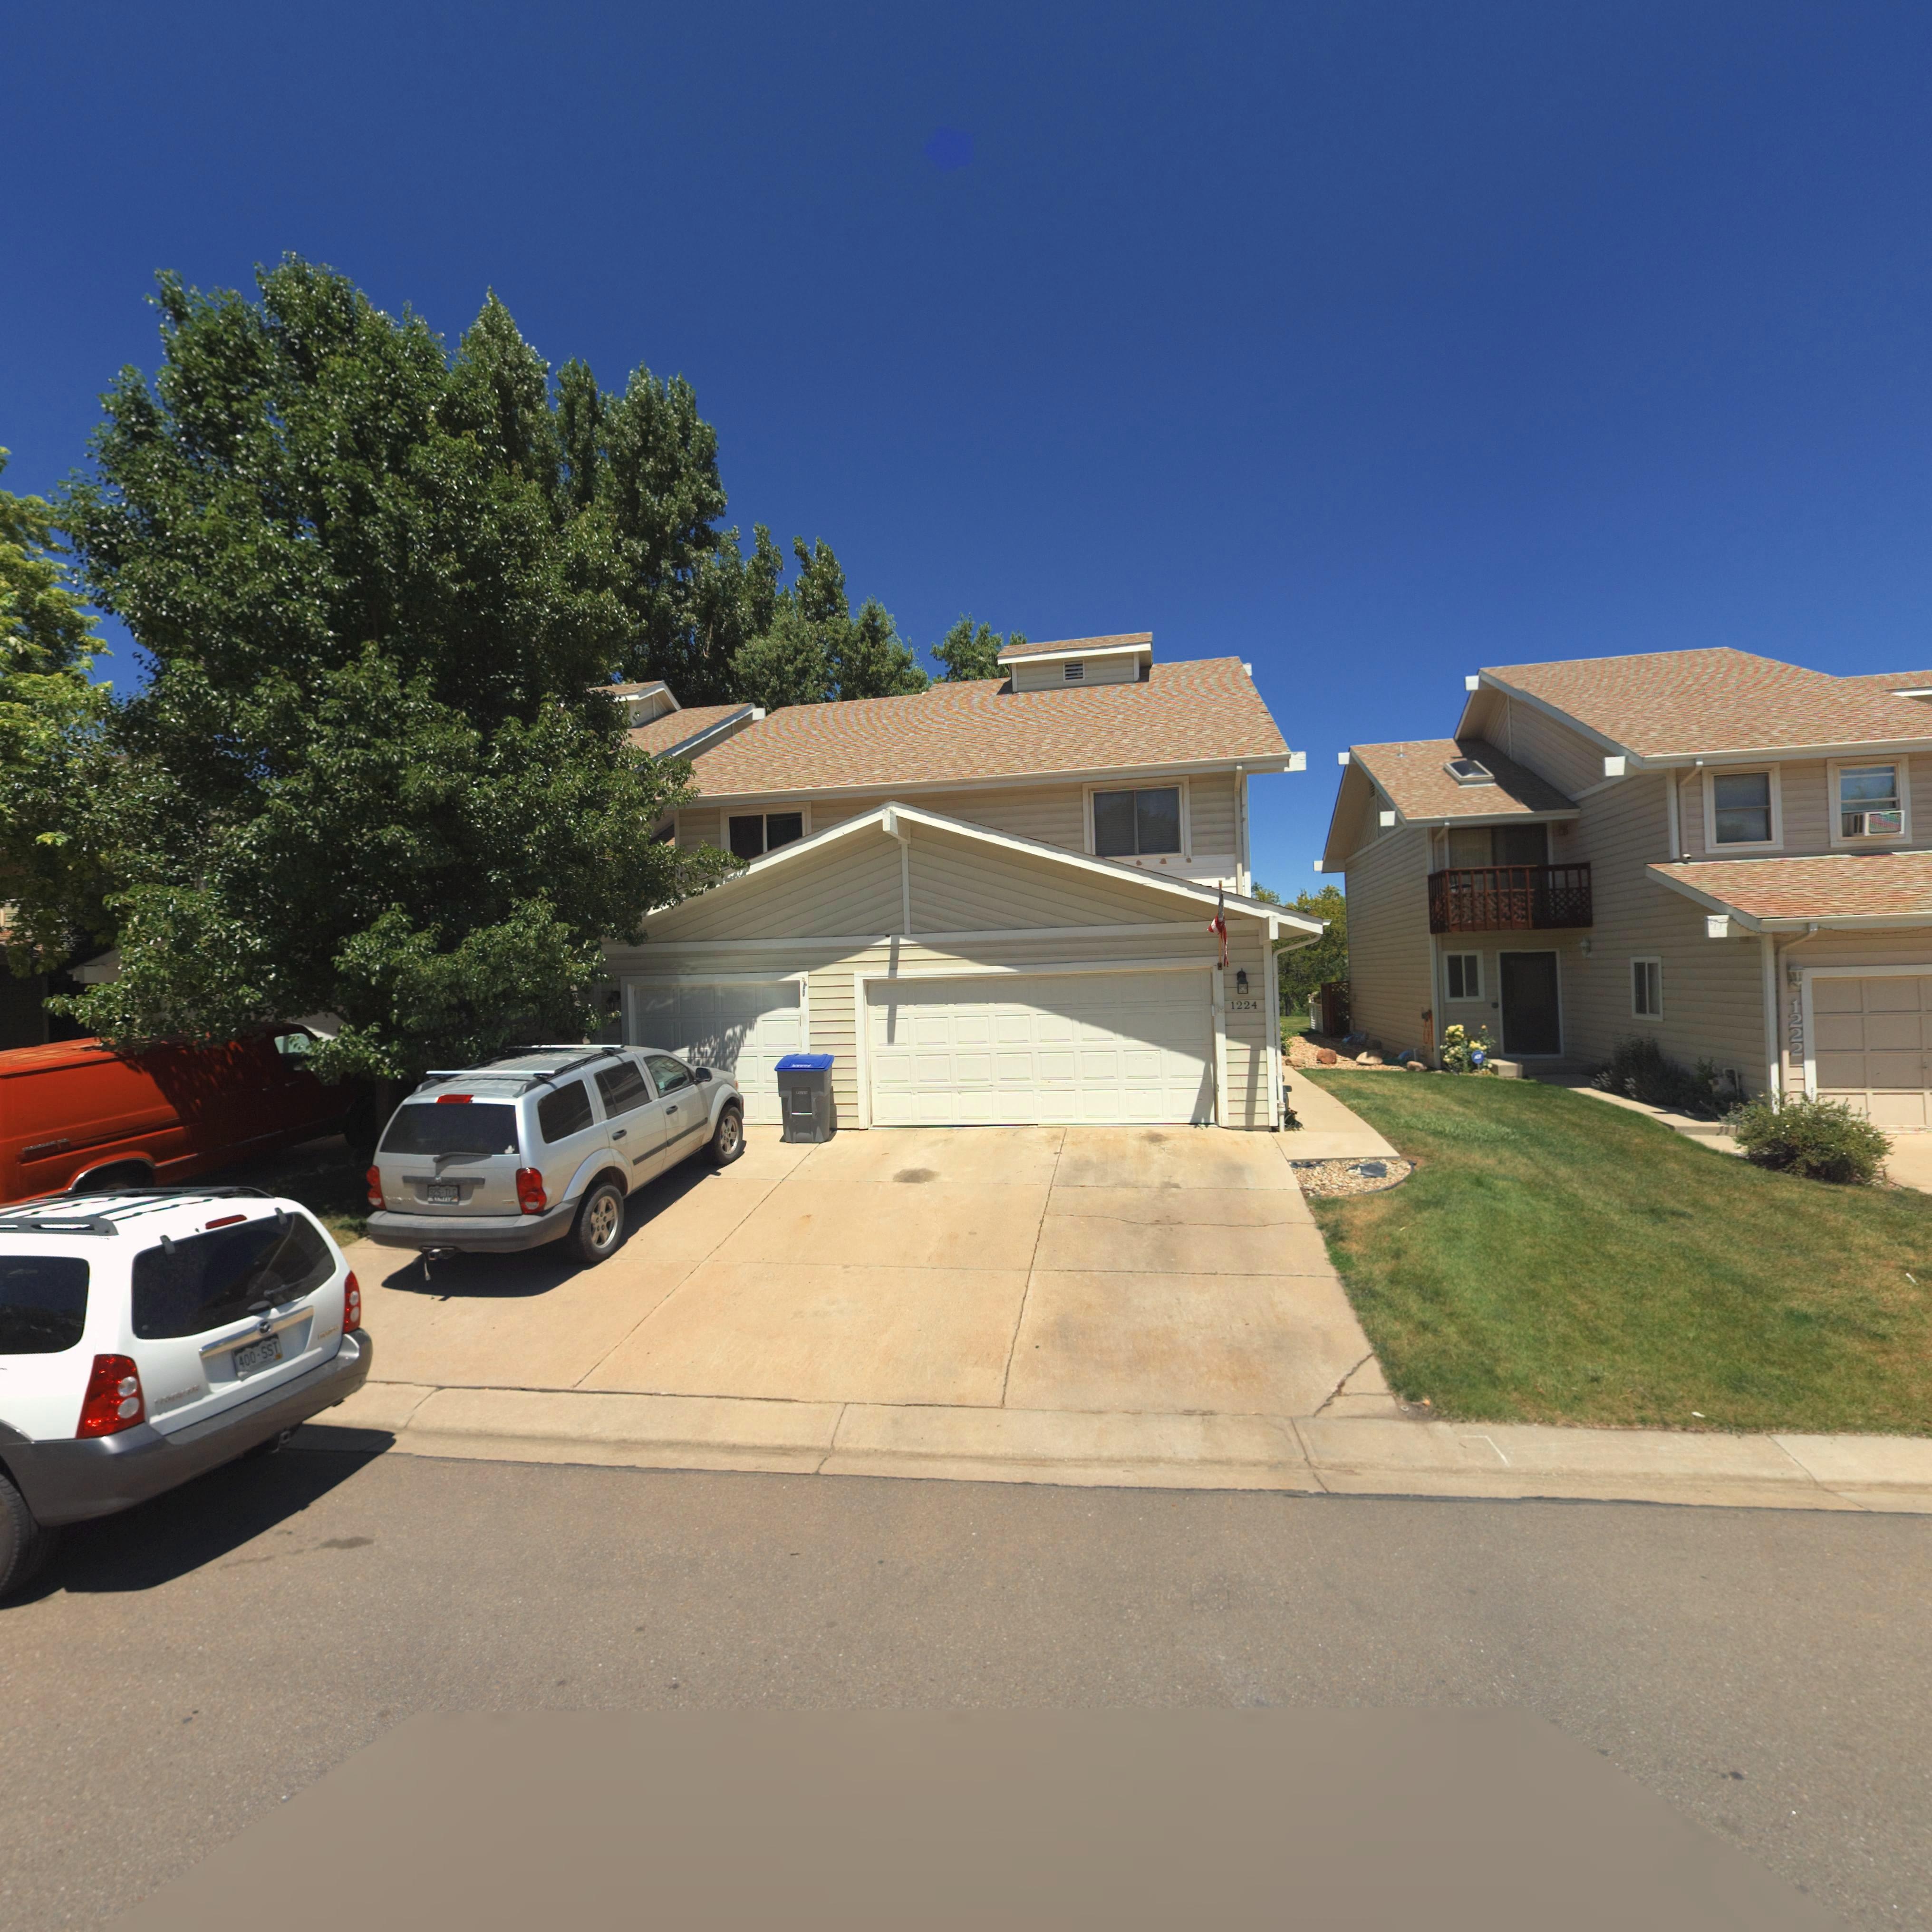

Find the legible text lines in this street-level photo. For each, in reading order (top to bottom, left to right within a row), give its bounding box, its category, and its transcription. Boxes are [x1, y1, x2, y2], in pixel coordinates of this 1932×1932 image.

[1231, 1000, 1257, 1009] StreetNumber: 1224
[1788, 999, 1804, 1057] StreetNumber: 1222